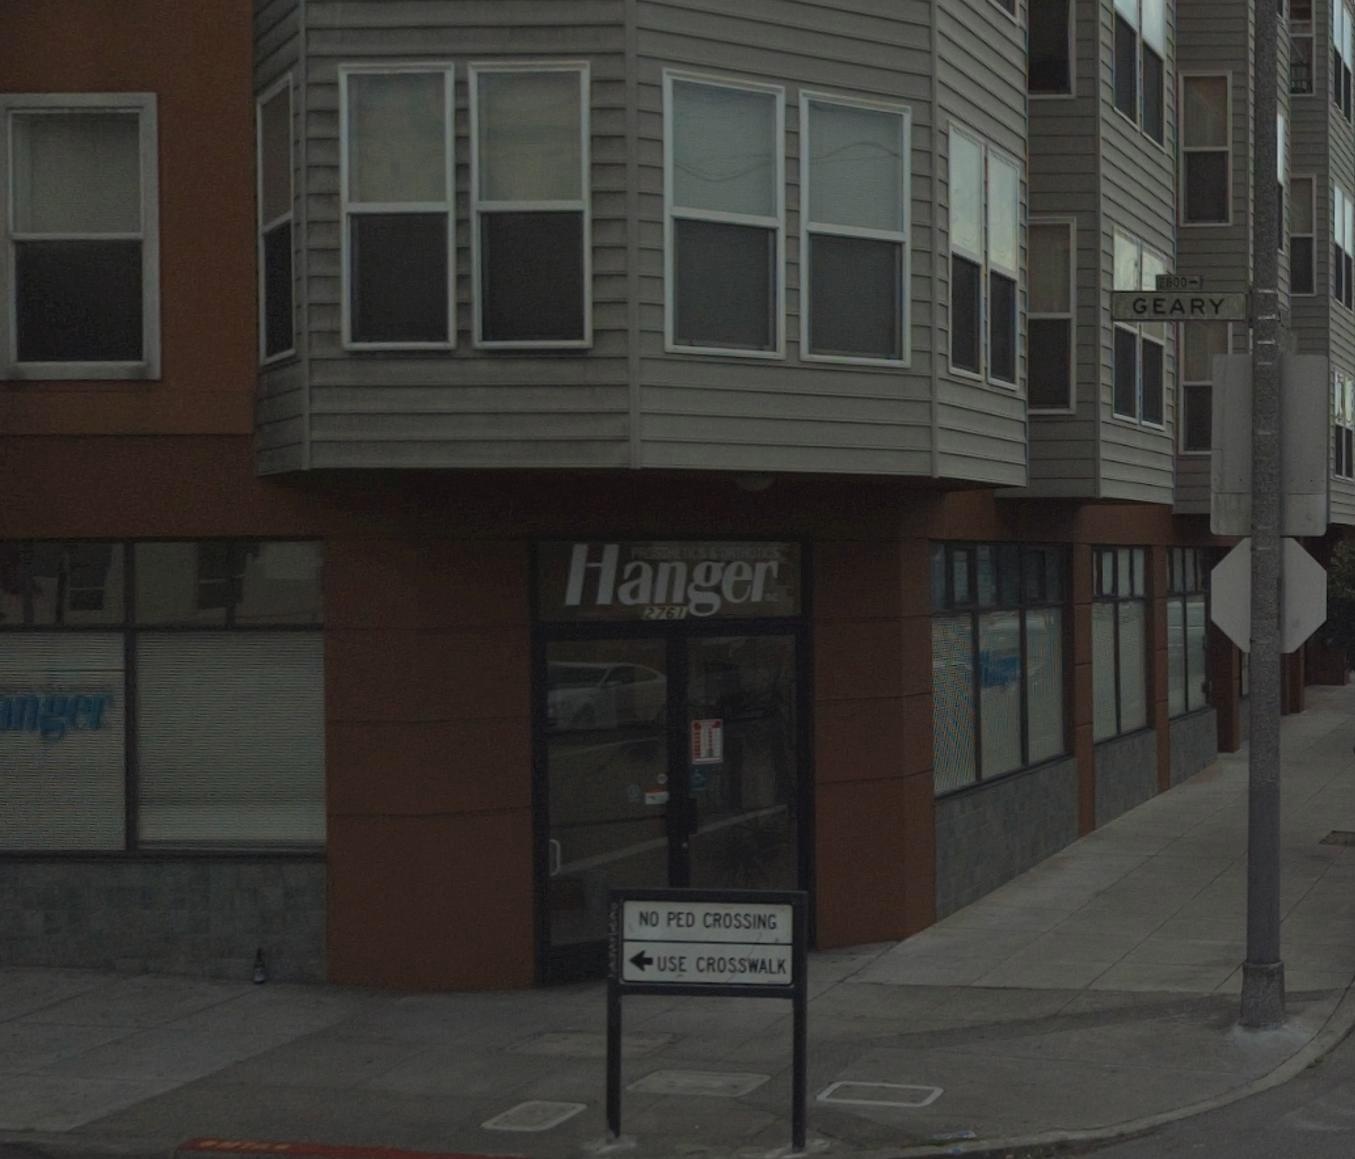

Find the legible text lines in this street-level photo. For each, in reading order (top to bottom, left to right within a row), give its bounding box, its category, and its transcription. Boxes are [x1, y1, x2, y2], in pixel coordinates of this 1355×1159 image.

[1158, 277, 1197, 287] StreetNumberRange: 2600 ->
[1128, 293, 1229, 317] StreetName: GEARY
[631, 545, 780, 559] None: PROSTETHICS & ORTHOTICS
[563, 541, 782, 619] BusinessName: Hanger
[642, 607, 684, 618] StreetNumber: 2761
[11, 690, 119, 744] BusinessName: nger
[637, 909, 778, 930] None: NO PED CROSSING
[655, 953, 787, 974] None: USE CROSSWALK